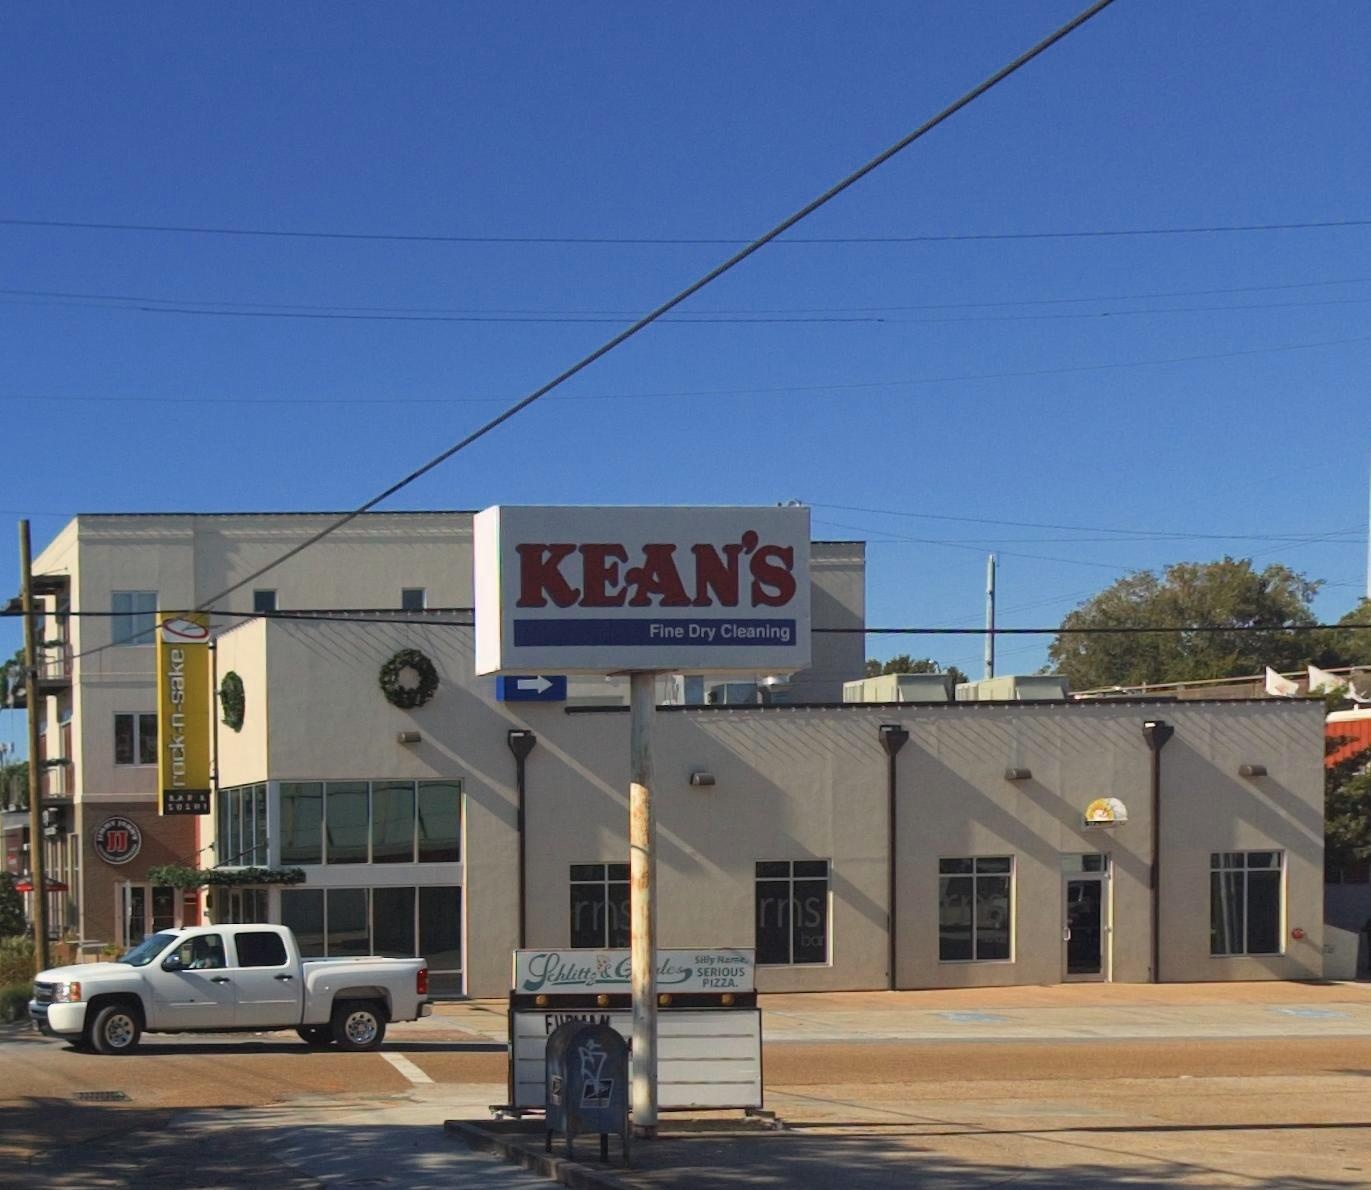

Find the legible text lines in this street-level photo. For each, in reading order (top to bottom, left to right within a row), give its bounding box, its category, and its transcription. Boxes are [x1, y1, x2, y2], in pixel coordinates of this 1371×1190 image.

[515, 542, 798, 609] BusinessName: KEAN'S
[648, 622, 793, 643] None: Fine Dry Cleaning
[166, 648, 188, 789] BusinessName: rock-n-sake
[106, 830, 129, 852] BusinessName: JJ
[573, 899, 592, 934] None: r
[757, 895, 823, 930] None: r*s
[800, 929, 826, 948] None: bar
[692, 953, 748, 967] None: Silly Name
[521, 952, 684, 993] BusinessName: Schlittz & **les
[699, 975, 735, 988] None: PIZZA
[696, 966, 747, 978] None: SEIOUS
[544, 1013, 555, 1035] None: F